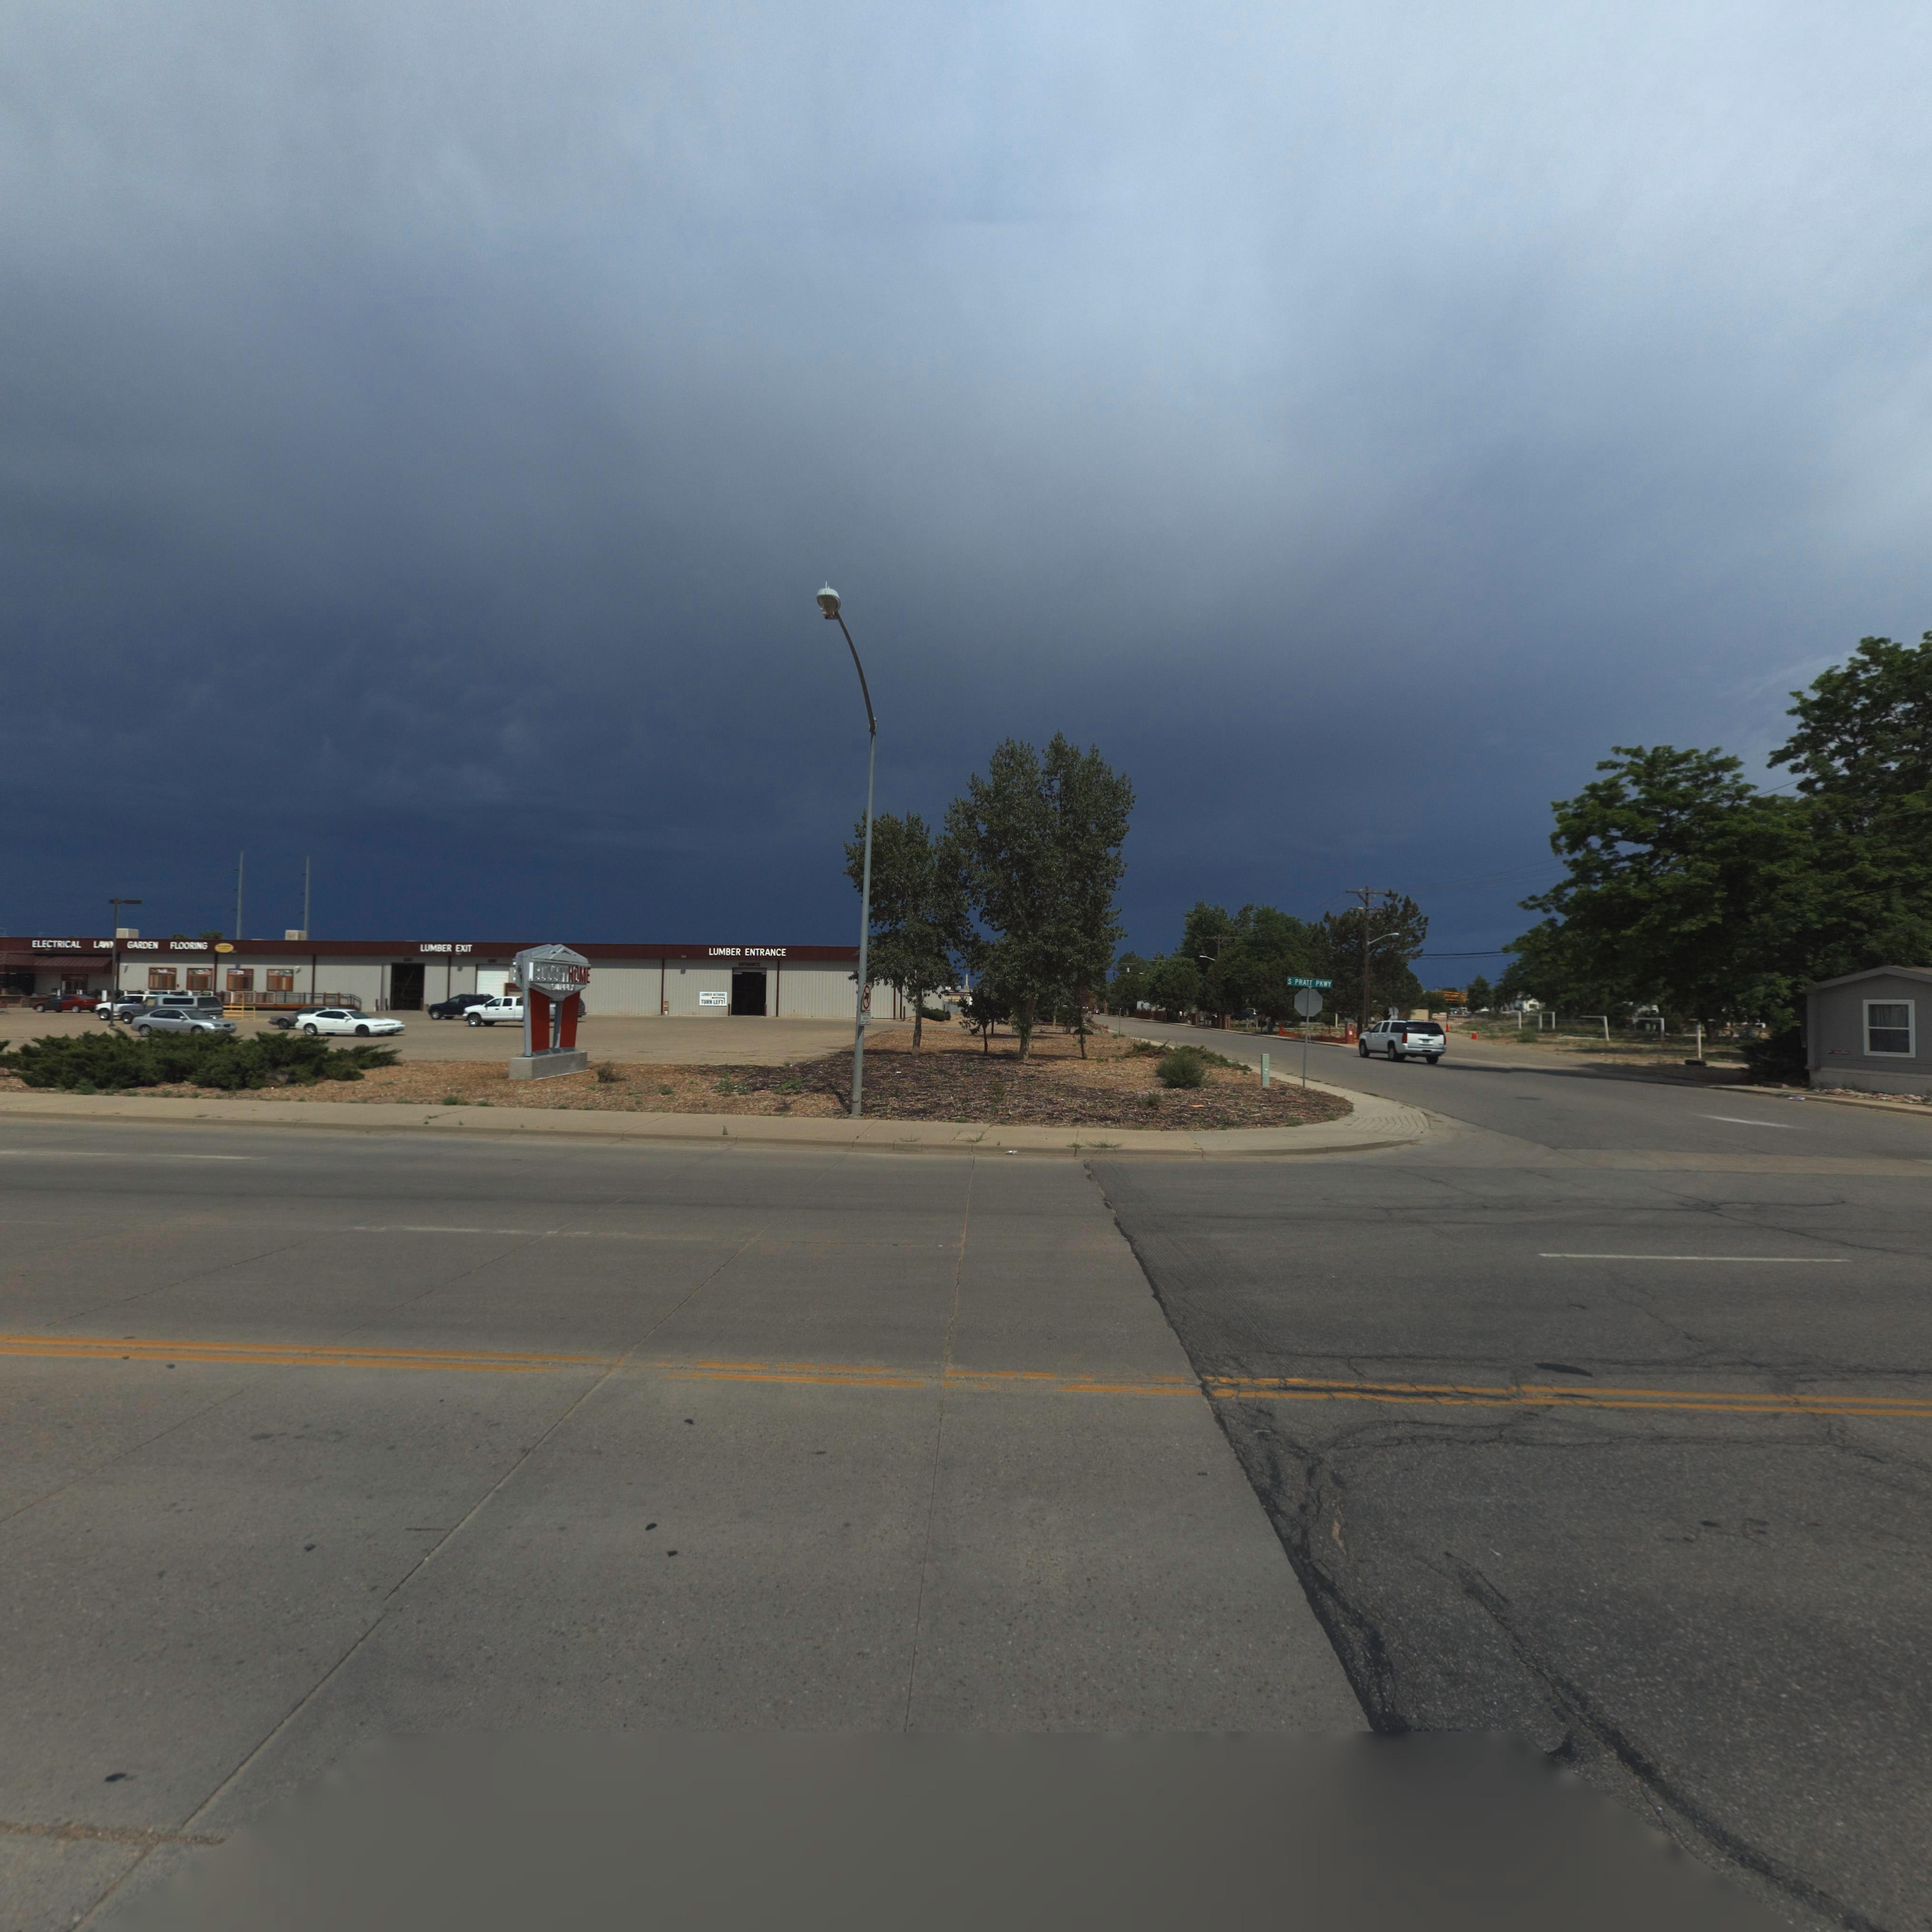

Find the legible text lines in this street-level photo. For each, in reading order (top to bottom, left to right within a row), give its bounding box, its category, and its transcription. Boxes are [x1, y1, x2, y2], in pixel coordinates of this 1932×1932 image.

[532, 962, 590, 984] BusinessName: B***ETHOME
[550, 983, 575, 991] BusinessName: SUPPLY
[1287, 978, 1332, 987] StreetName: S PRATT PKWY